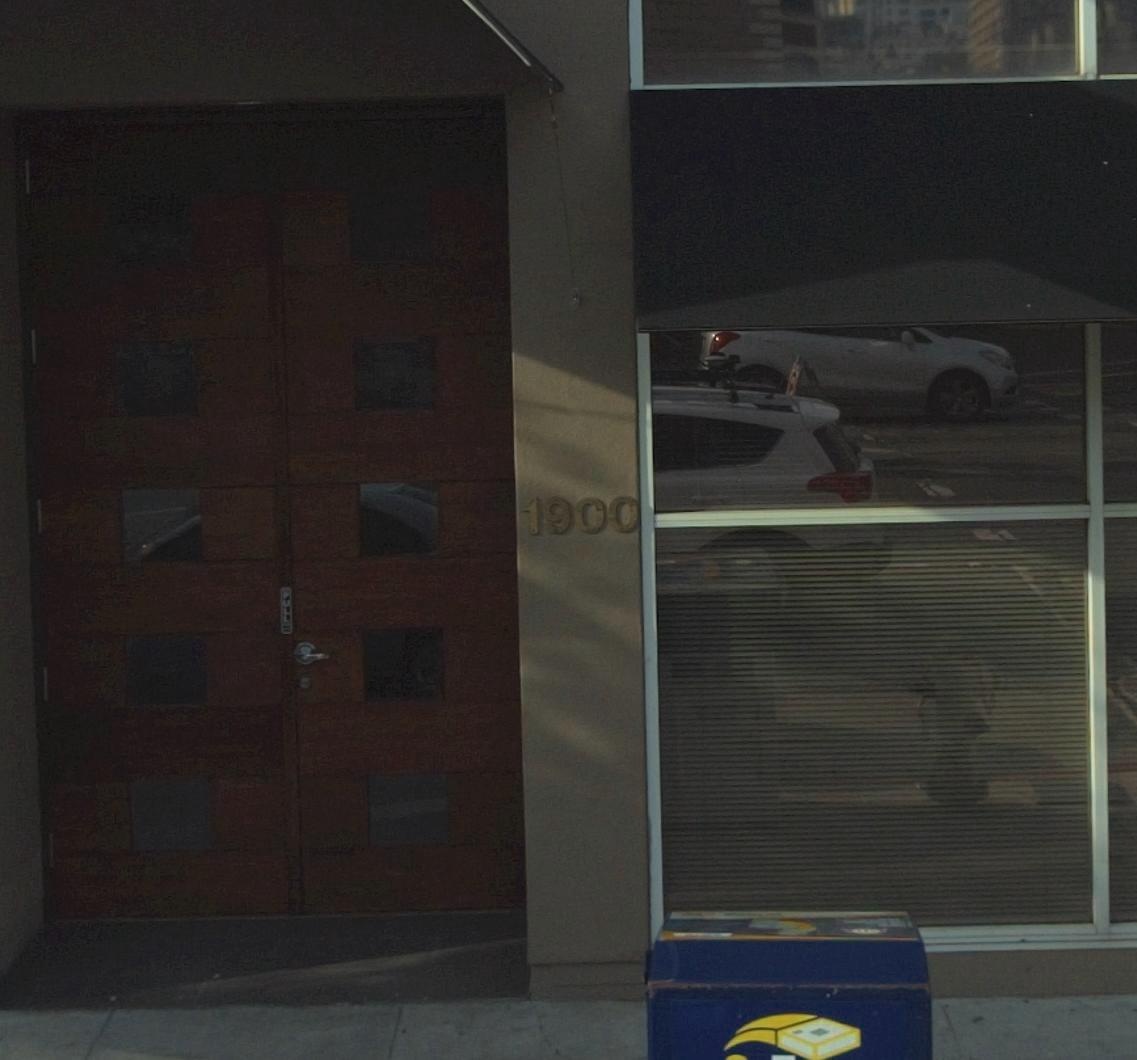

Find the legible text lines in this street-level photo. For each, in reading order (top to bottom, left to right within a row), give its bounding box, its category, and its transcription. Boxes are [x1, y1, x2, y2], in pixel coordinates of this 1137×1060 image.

[518, 492, 643, 539] StreetNumber: 1900
[281, 590, 292, 624] None: PULL